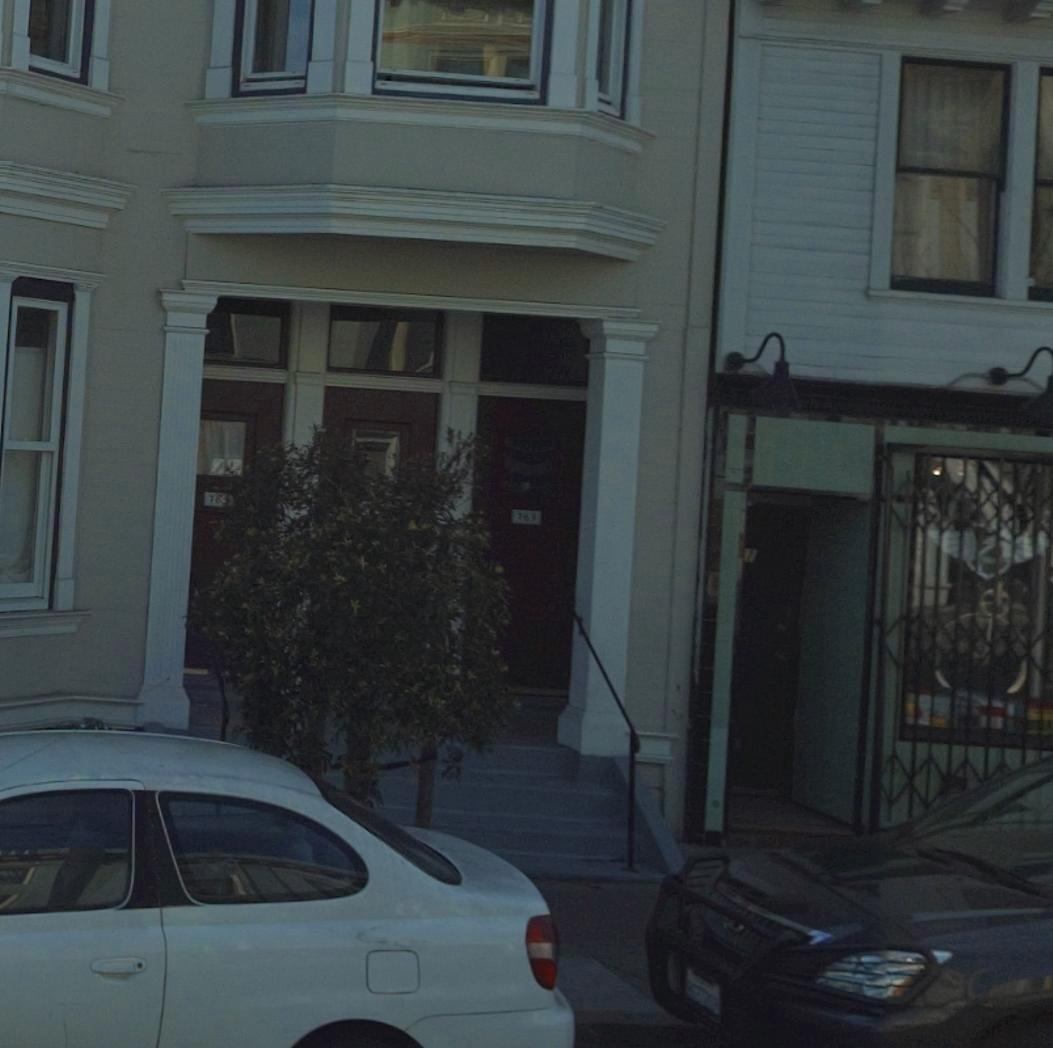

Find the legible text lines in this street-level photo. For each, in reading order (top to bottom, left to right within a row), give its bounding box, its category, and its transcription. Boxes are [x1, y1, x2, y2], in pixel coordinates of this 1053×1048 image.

[208, 493, 222, 506] StreetNumber: 16
[513, 509, 538, 523] StreetNumber: 163